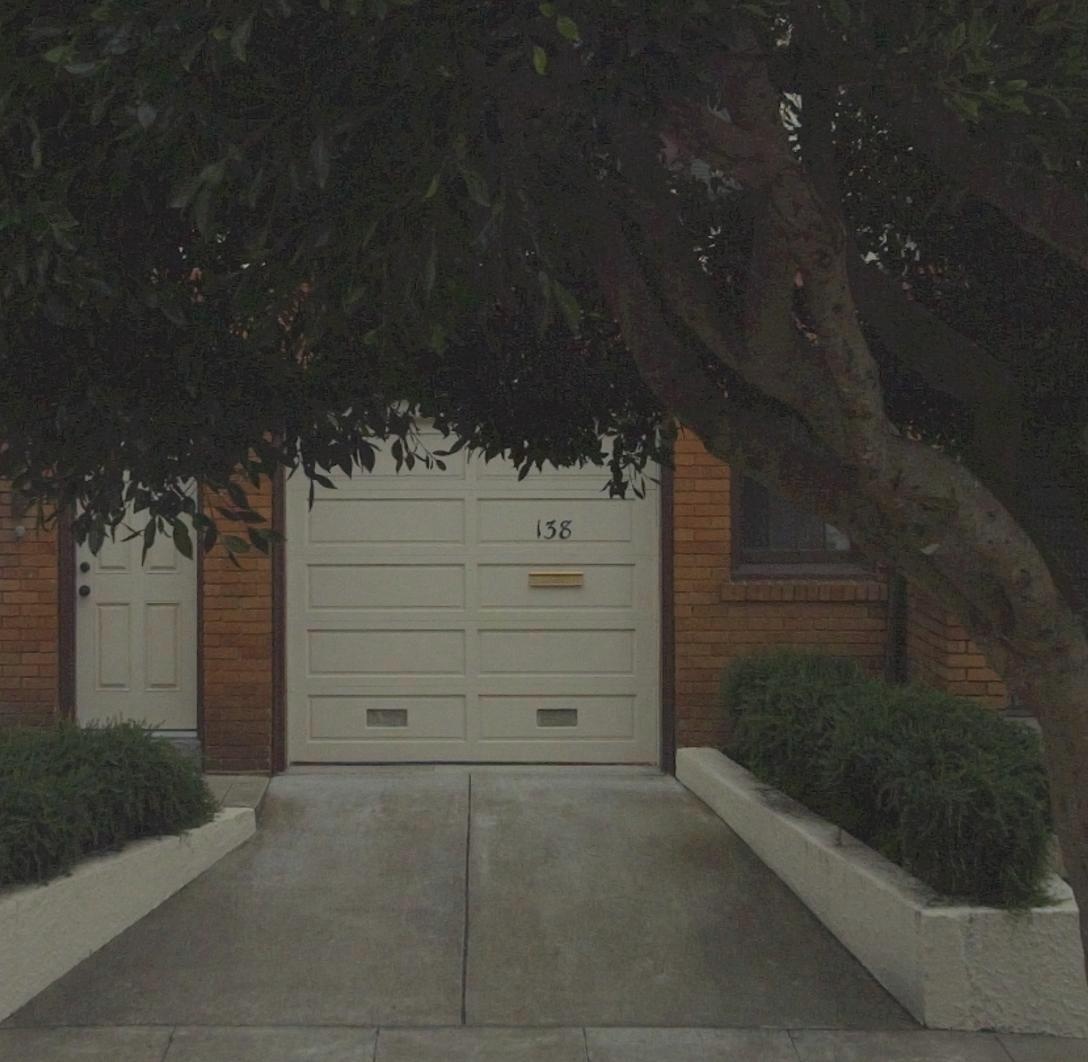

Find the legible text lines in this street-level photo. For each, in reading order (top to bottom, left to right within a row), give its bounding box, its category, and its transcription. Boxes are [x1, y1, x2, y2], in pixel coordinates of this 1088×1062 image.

[535, 518, 573, 541] StreetNumber: 138